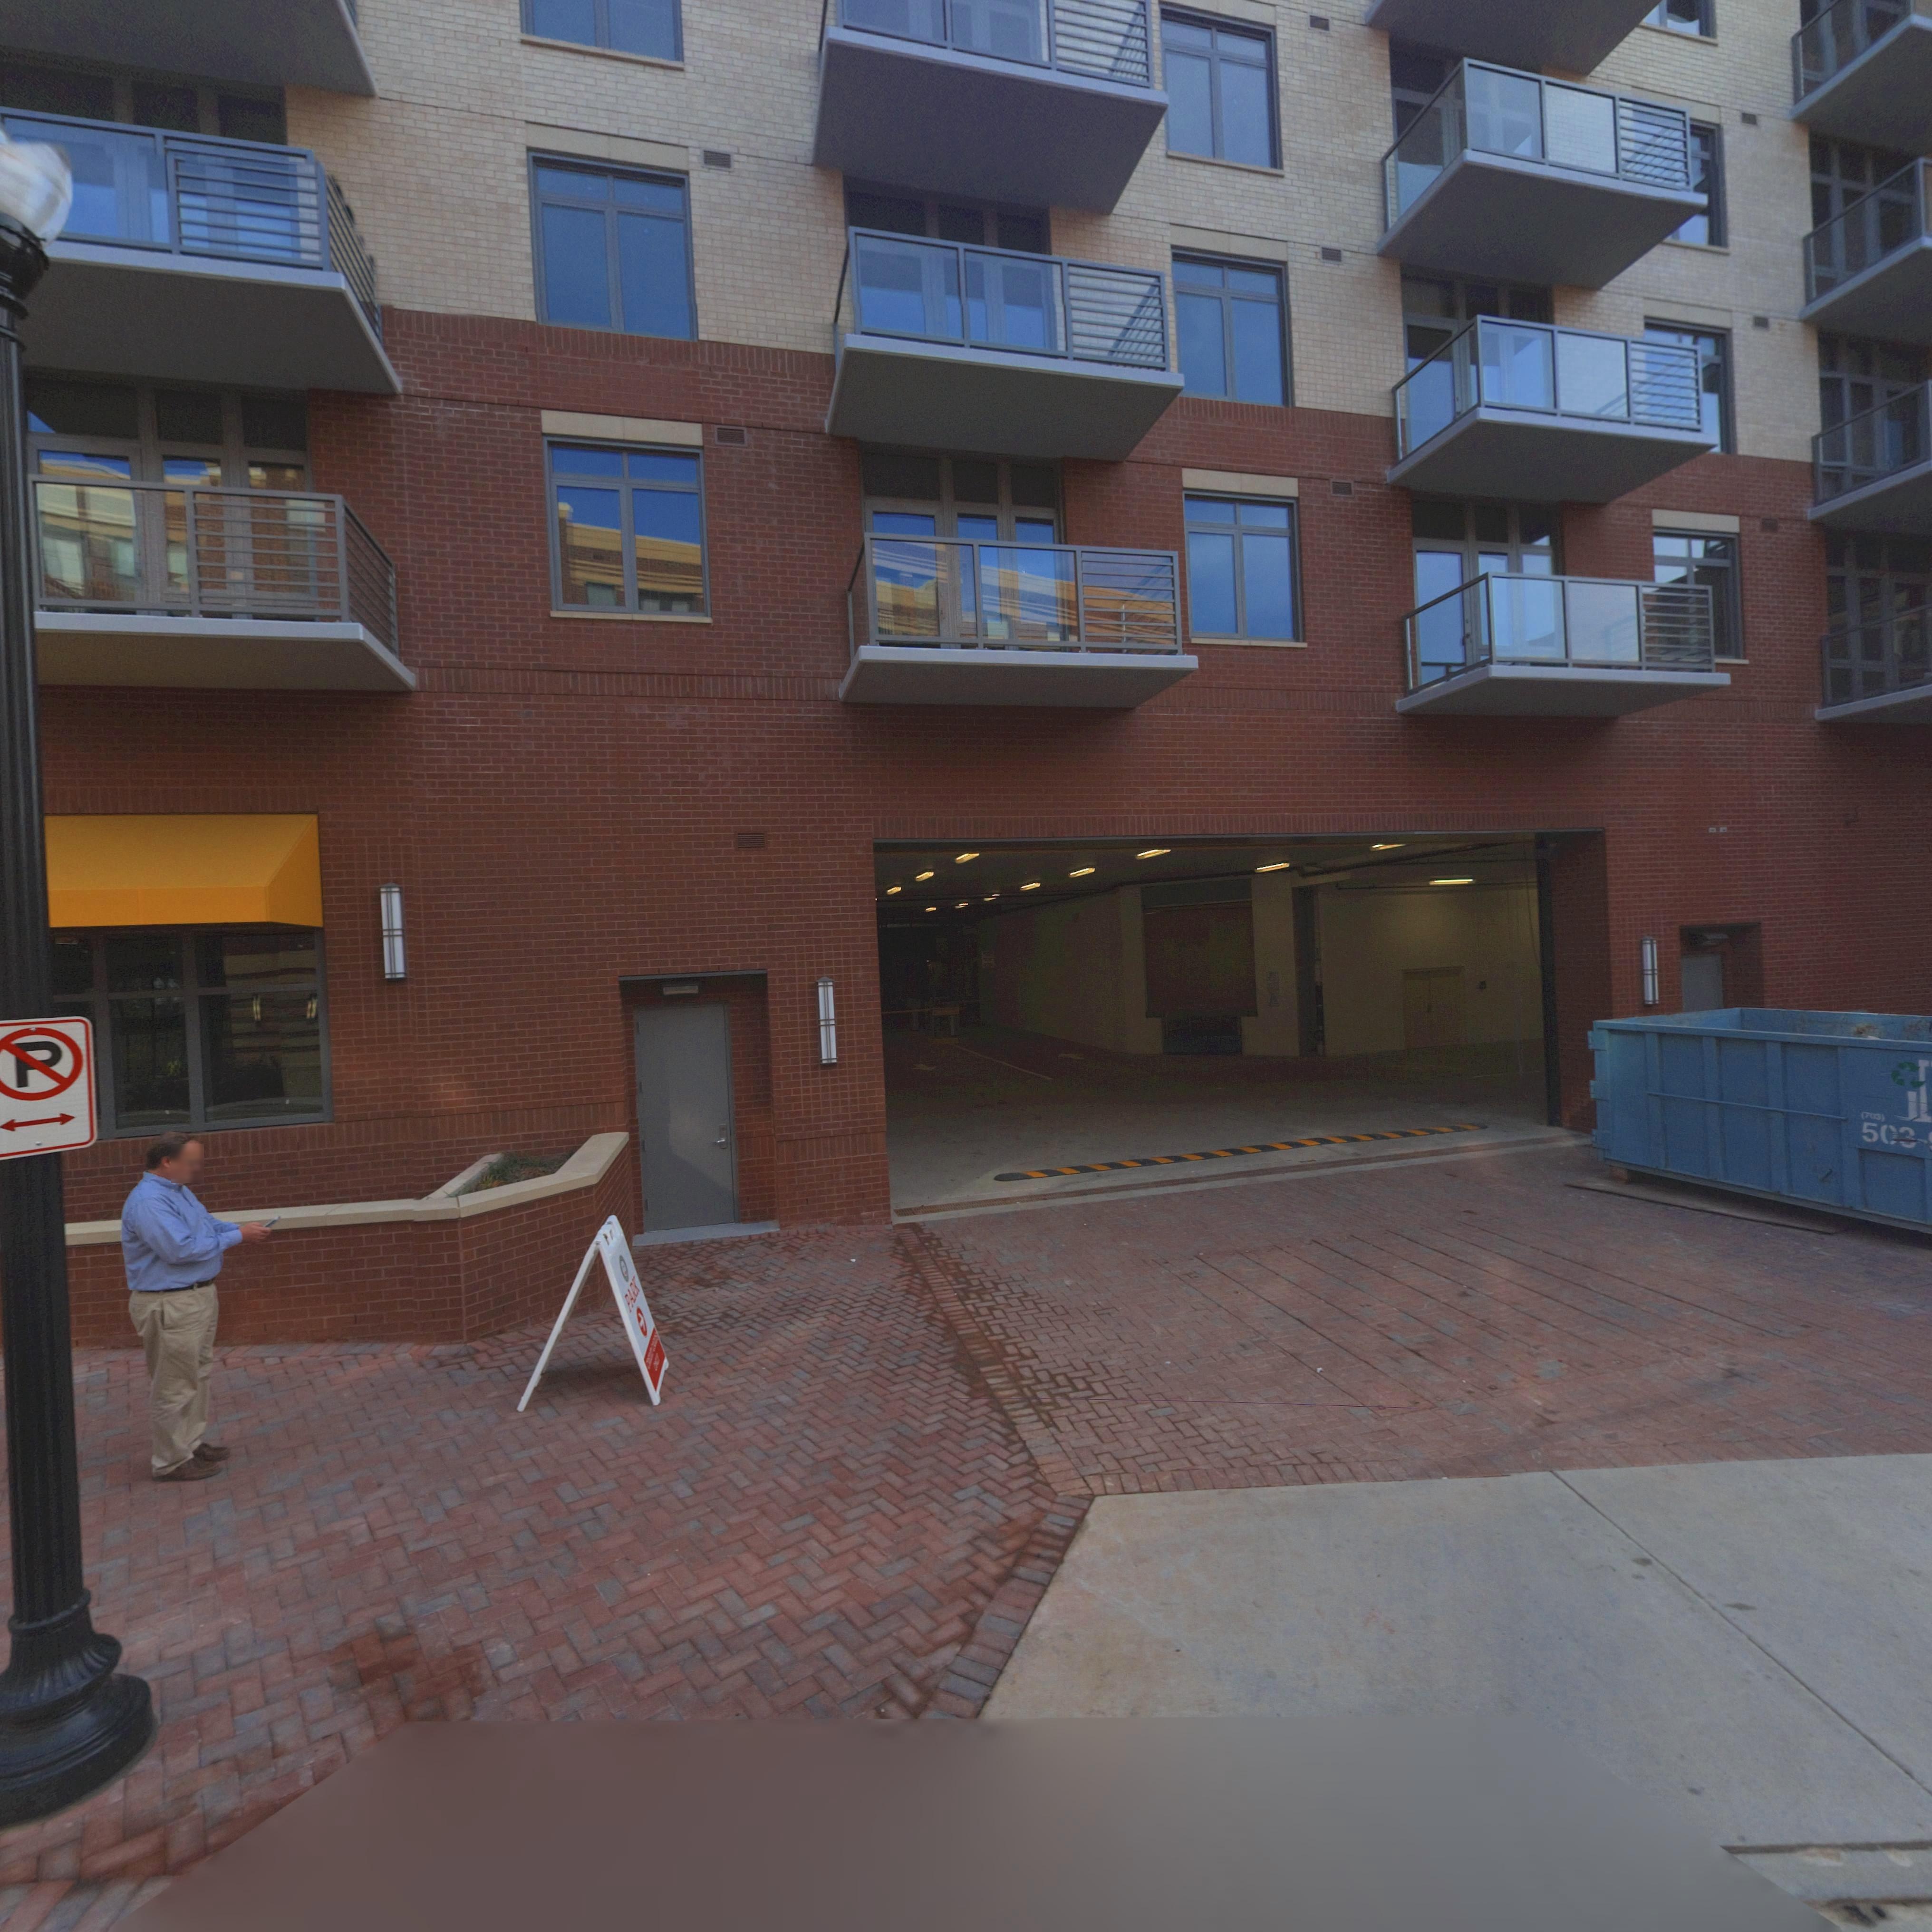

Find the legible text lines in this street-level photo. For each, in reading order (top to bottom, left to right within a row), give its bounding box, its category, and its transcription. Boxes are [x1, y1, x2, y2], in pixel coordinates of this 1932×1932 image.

[1861, 1121, 1879, 1144] None: 5
[623, 1273, 641, 1315] None: PARK